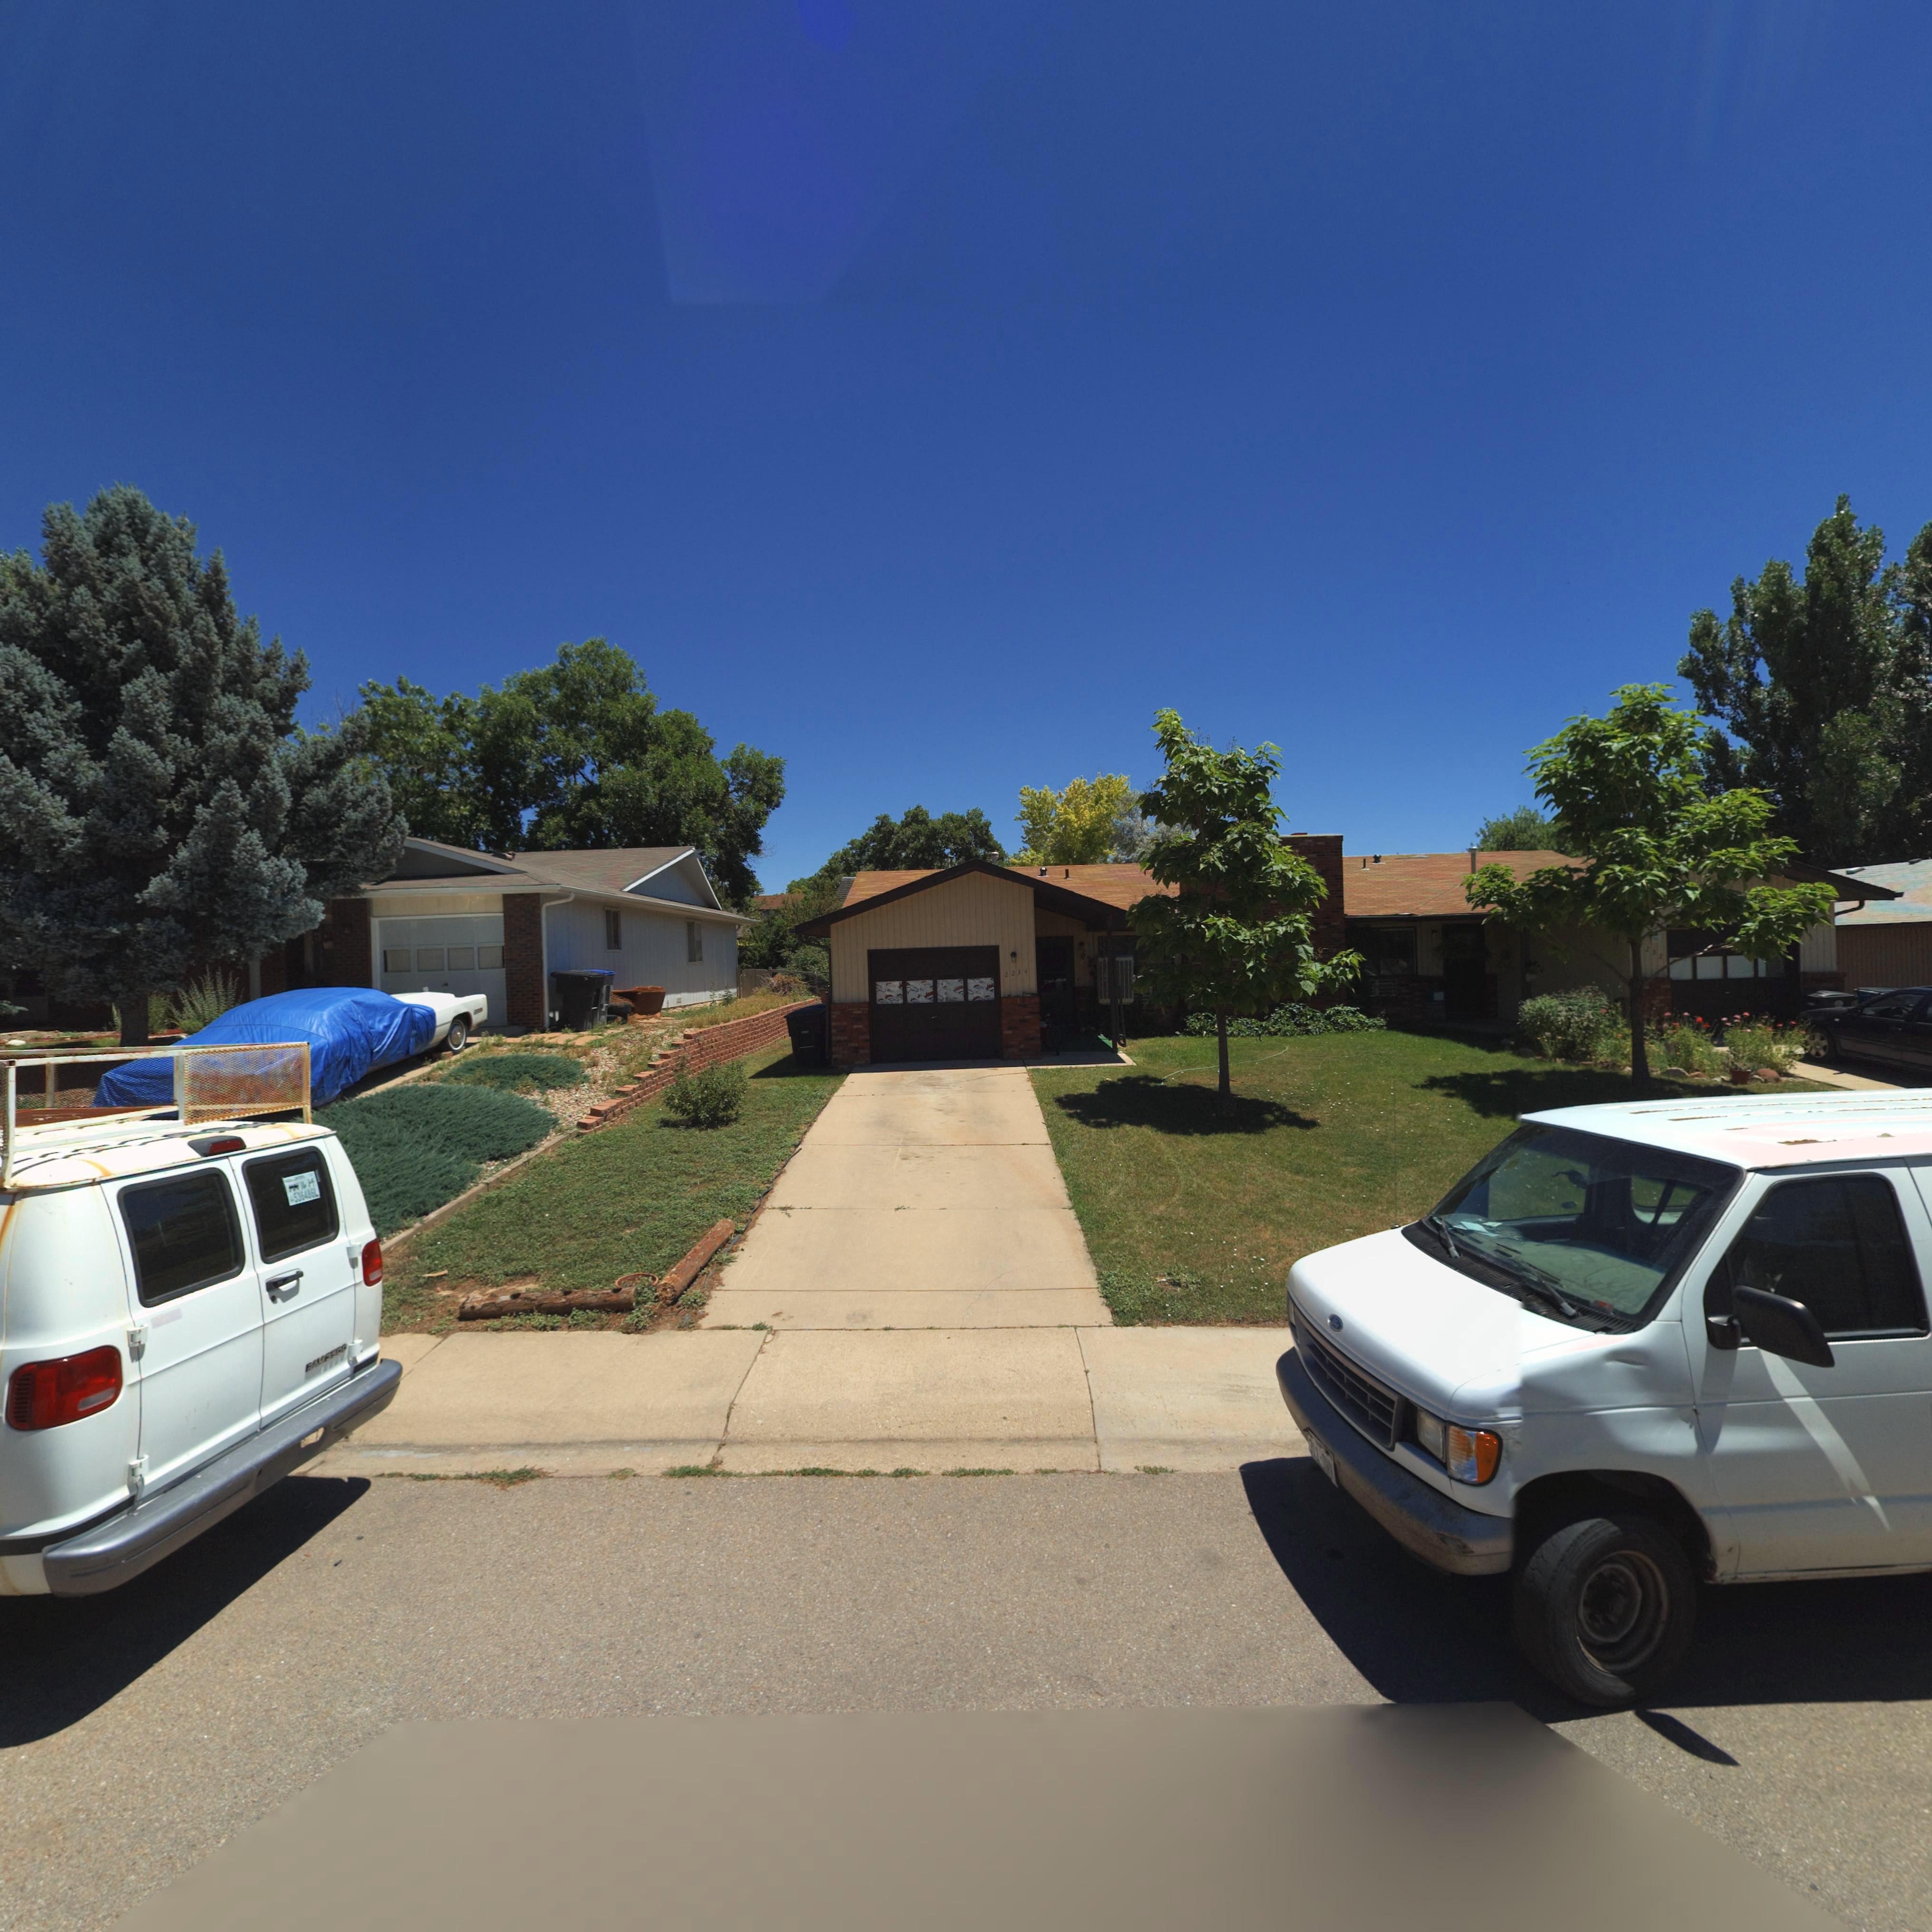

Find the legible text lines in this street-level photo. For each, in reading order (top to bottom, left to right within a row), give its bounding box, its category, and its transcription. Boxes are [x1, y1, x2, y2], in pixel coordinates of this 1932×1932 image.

[1640, 941, 1664, 959] StreetNumber: *232
[1004, 968, 1027, 977] StreetNumber: 2234